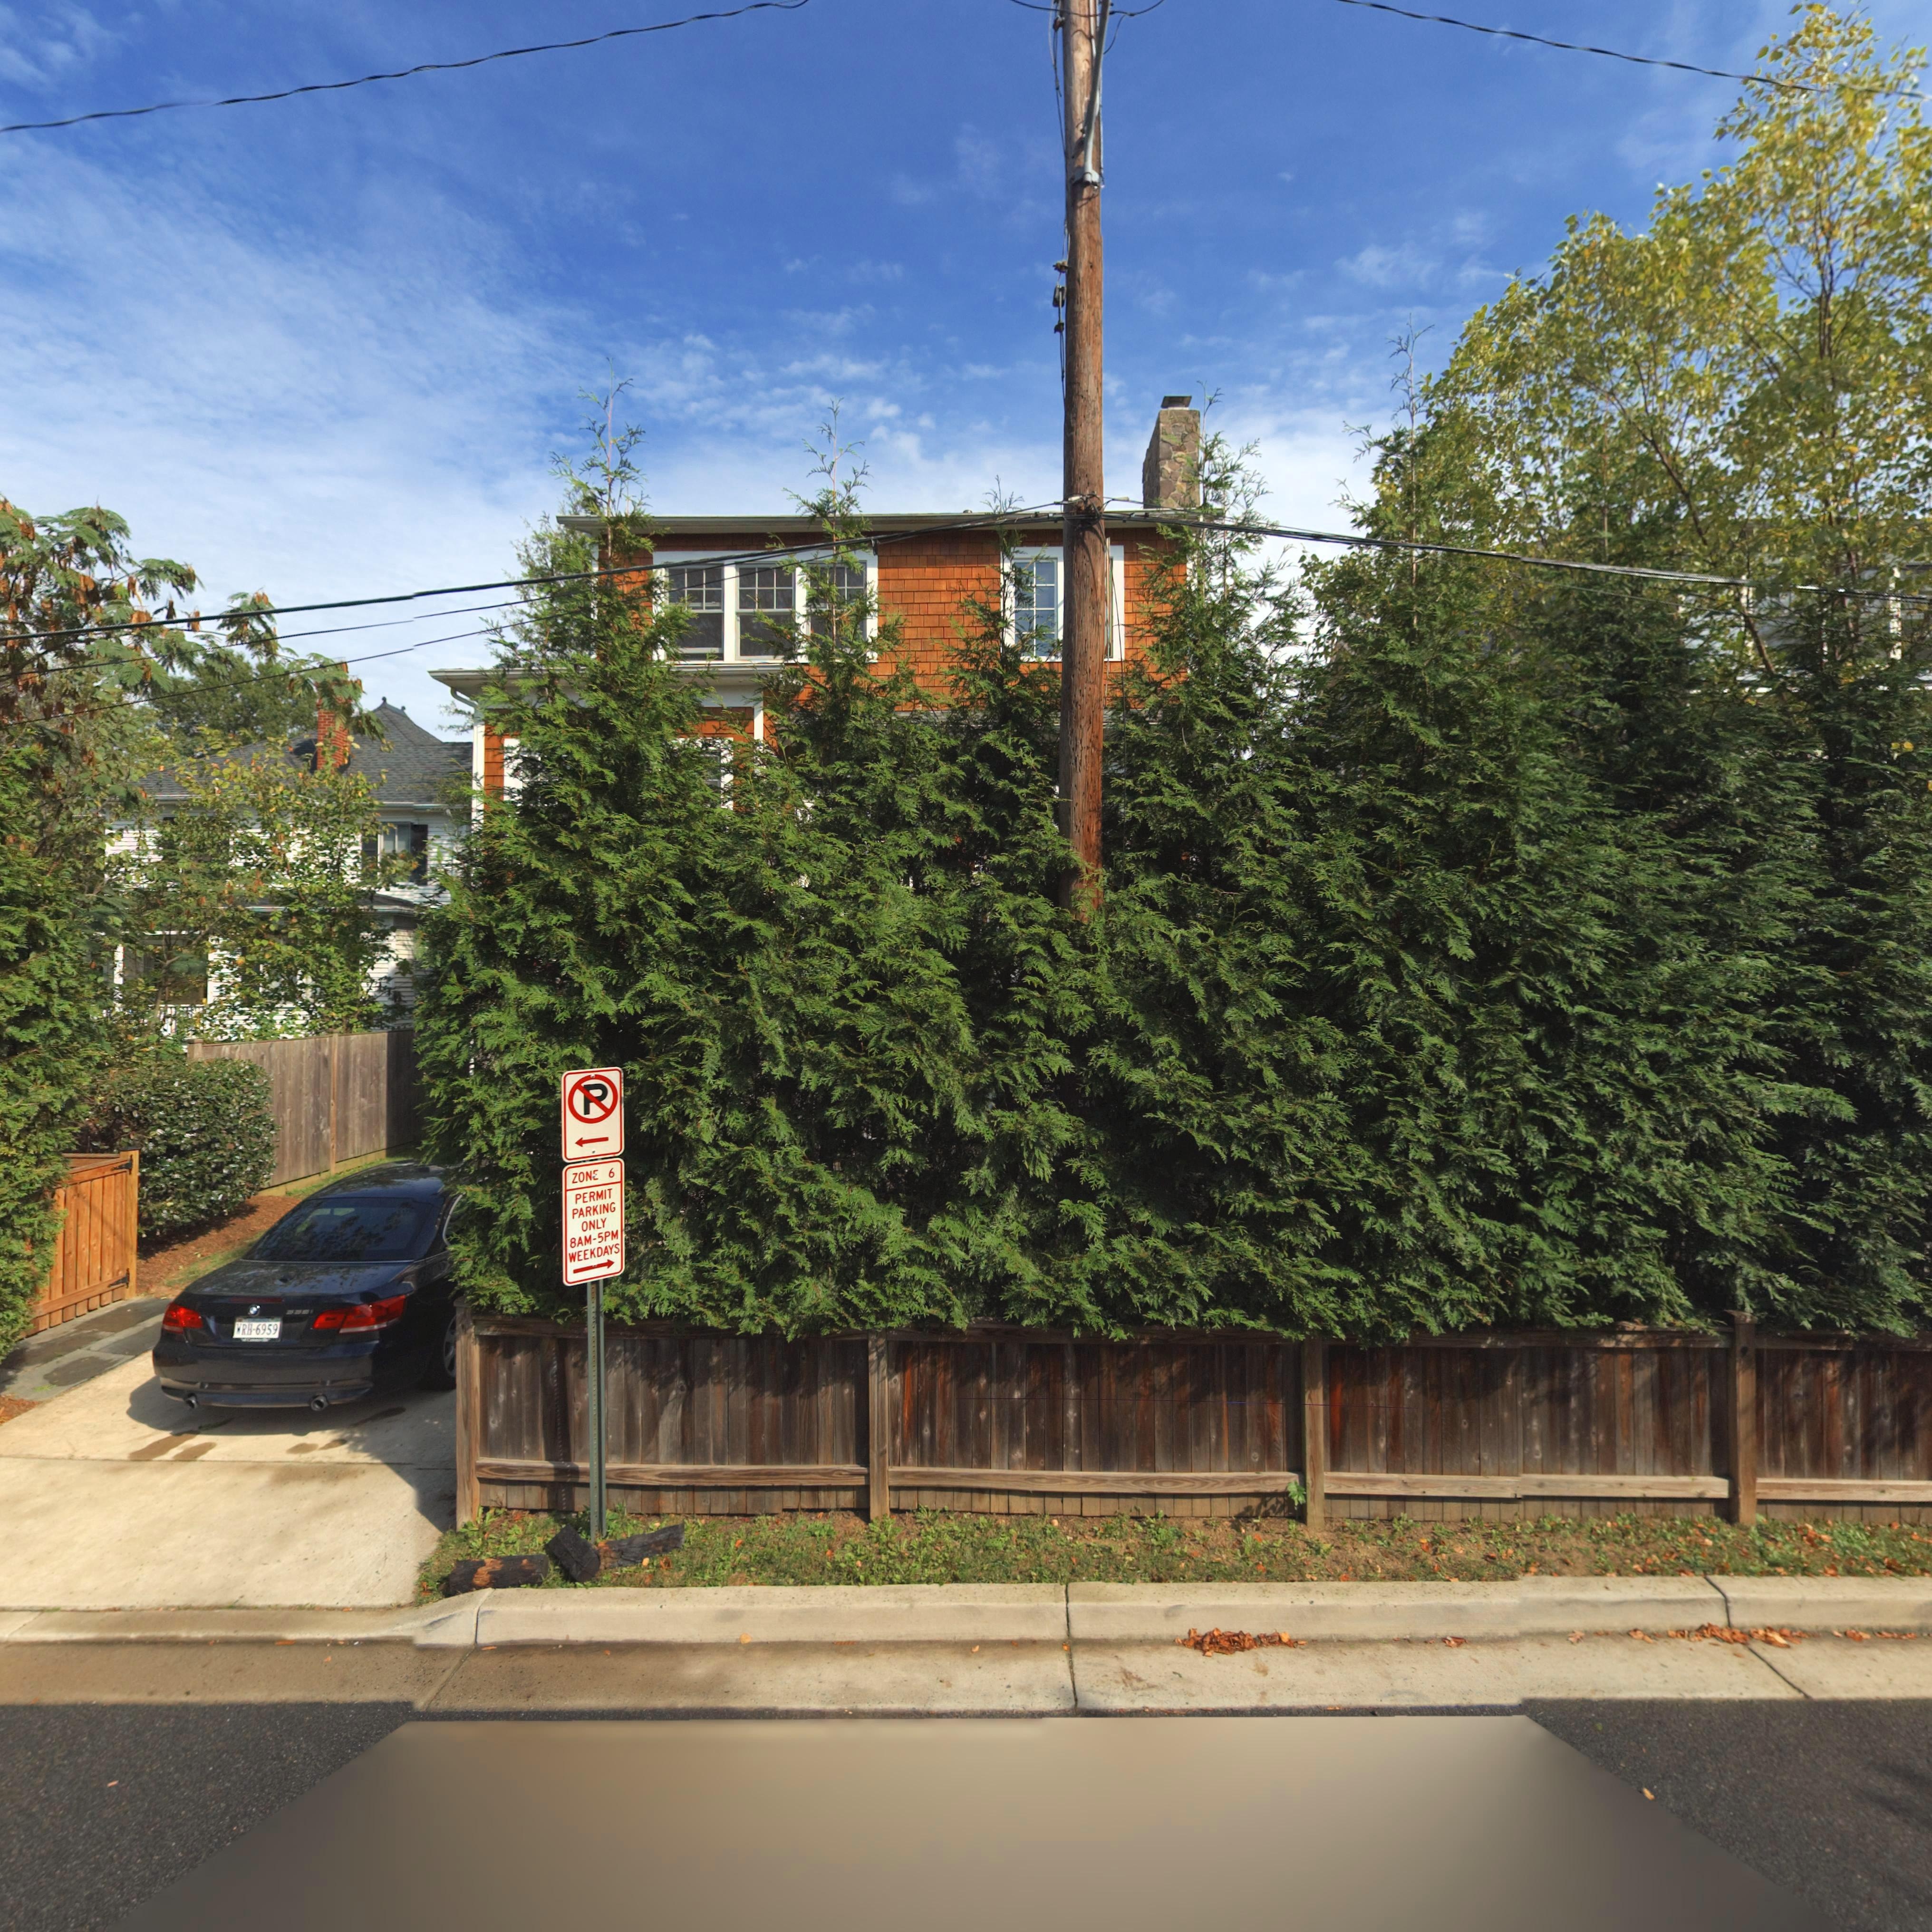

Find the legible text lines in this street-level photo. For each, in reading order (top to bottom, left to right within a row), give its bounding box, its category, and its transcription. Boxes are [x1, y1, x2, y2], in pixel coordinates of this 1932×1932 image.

[570, 1166, 617, 1185] None: ZON* 6
[574, 1187, 614, 1206] None: PERMIT
[571, 1200, 617, 1221] None: PARKING
[580, 1216, 608, 1233] None: ONLY
[569, 1227, 619, 1250] None: 8AM-5PM
[567, 1241, 621, 1265] None: WEEKDAYS
[234, 1322, 279, 1337] None: *RH-6959